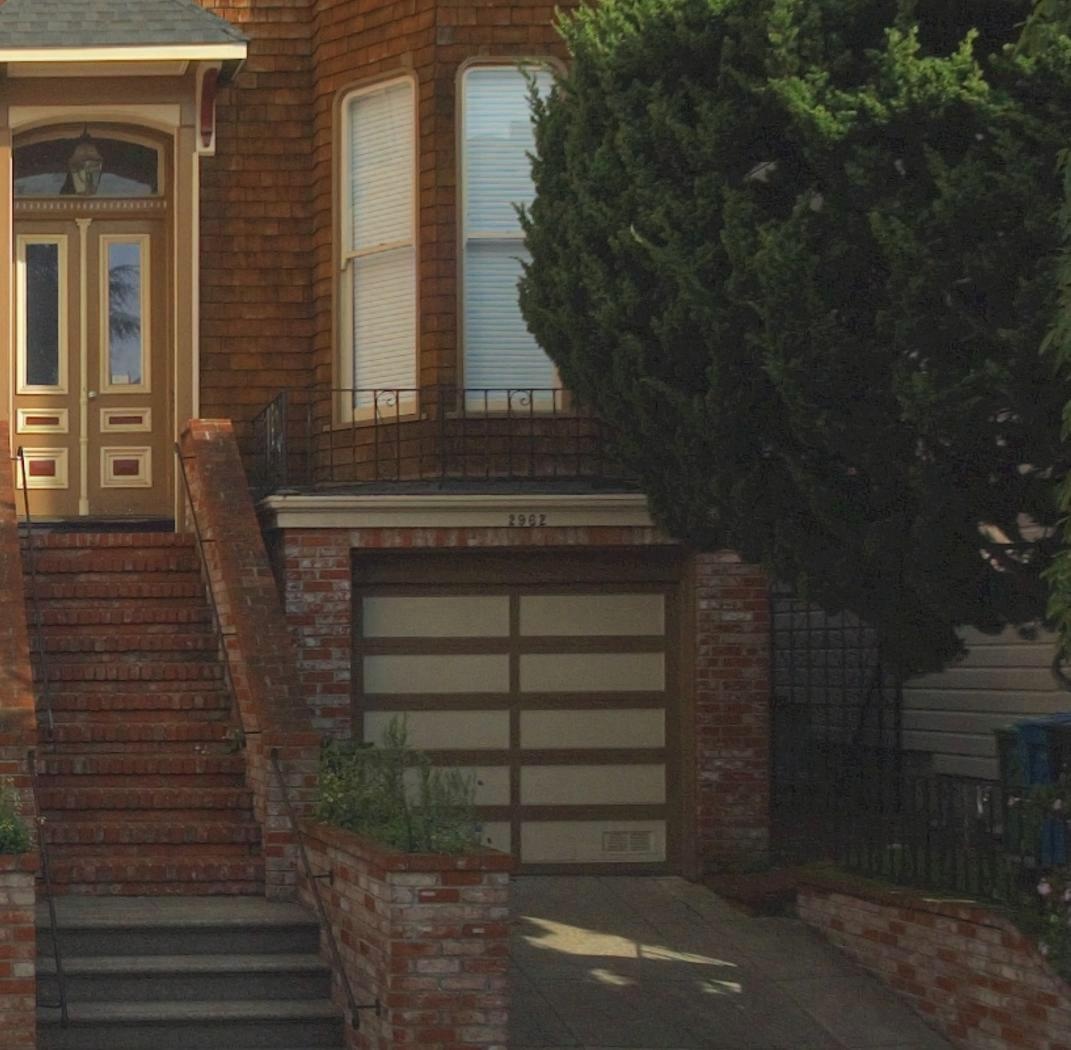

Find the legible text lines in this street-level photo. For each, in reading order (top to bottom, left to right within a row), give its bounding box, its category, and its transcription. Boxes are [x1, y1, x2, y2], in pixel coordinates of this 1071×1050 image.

[506, 512, 548, 528] StreetNumber: 2962